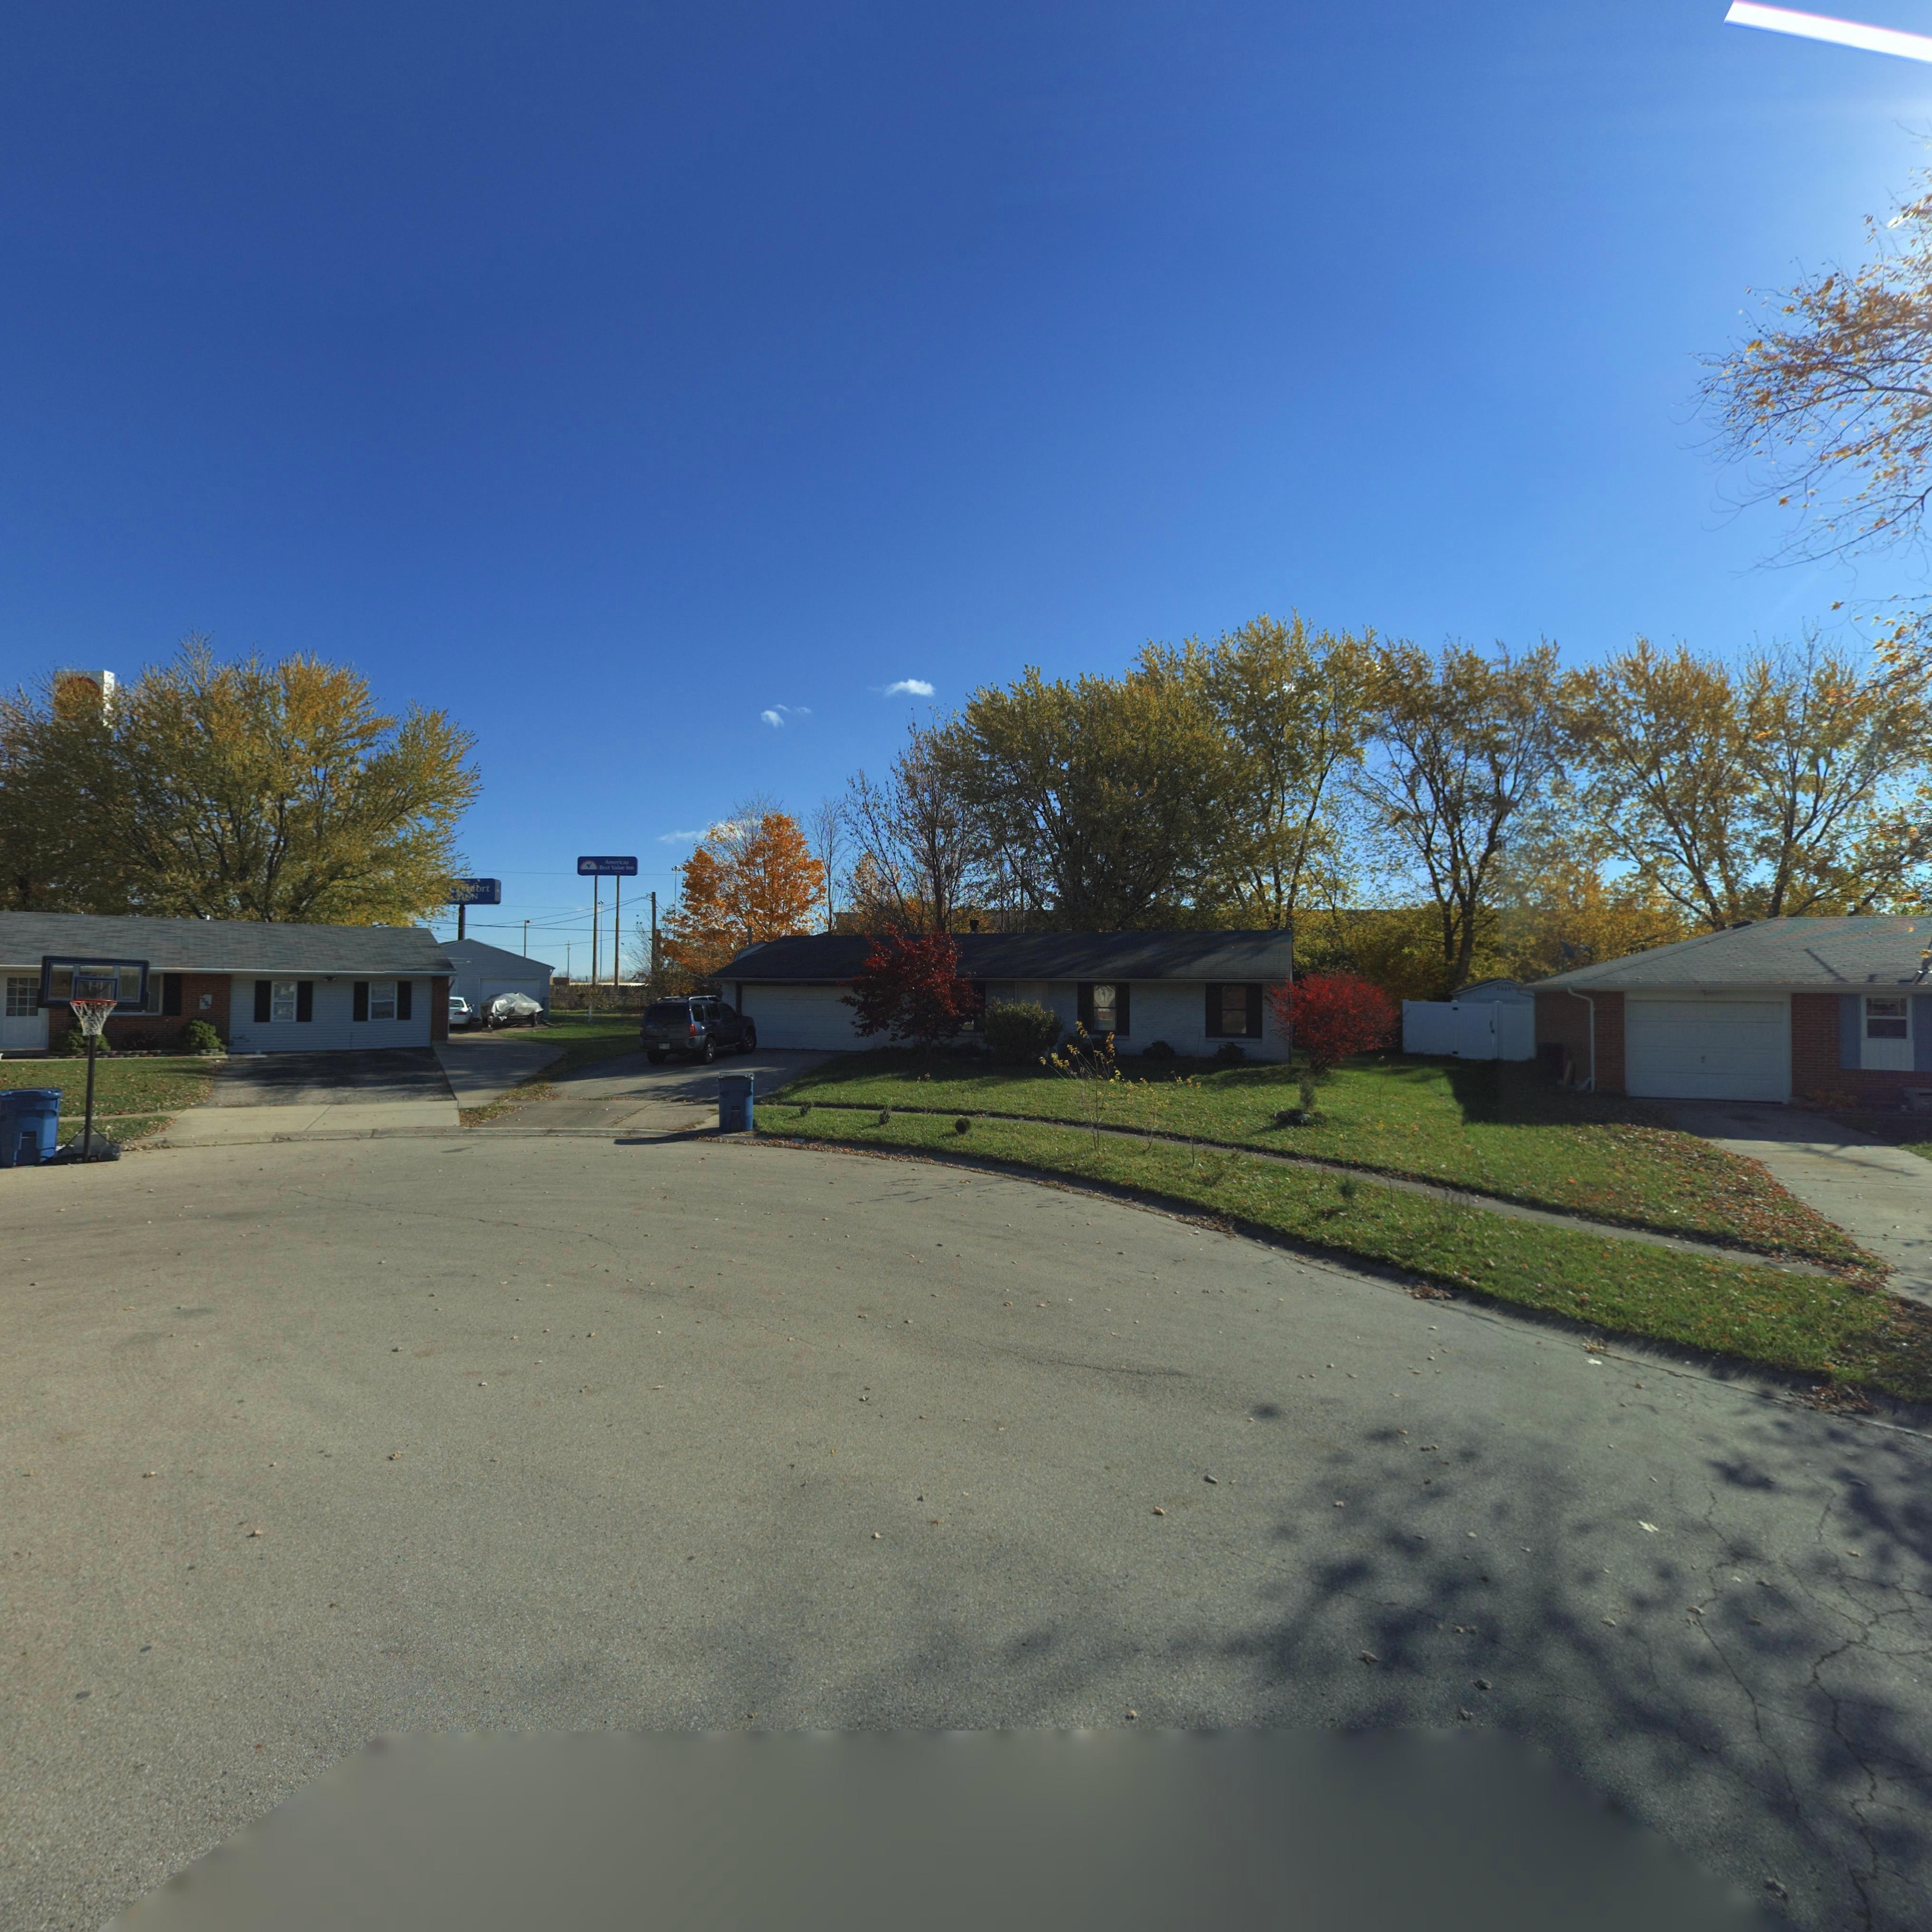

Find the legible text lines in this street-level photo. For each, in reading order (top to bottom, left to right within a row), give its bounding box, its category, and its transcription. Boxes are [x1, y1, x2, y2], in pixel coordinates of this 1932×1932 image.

[603, 859, 629, 865] BusinessName: America's
[599, 865, 635, 870] BusinessName: Best Value Inn
[475, 885, 492, 893] BusinessName: ort
[471, 893, 479, 900] BusinessName: N
[198, 993, 213, 1010] StreetNumber: *88*